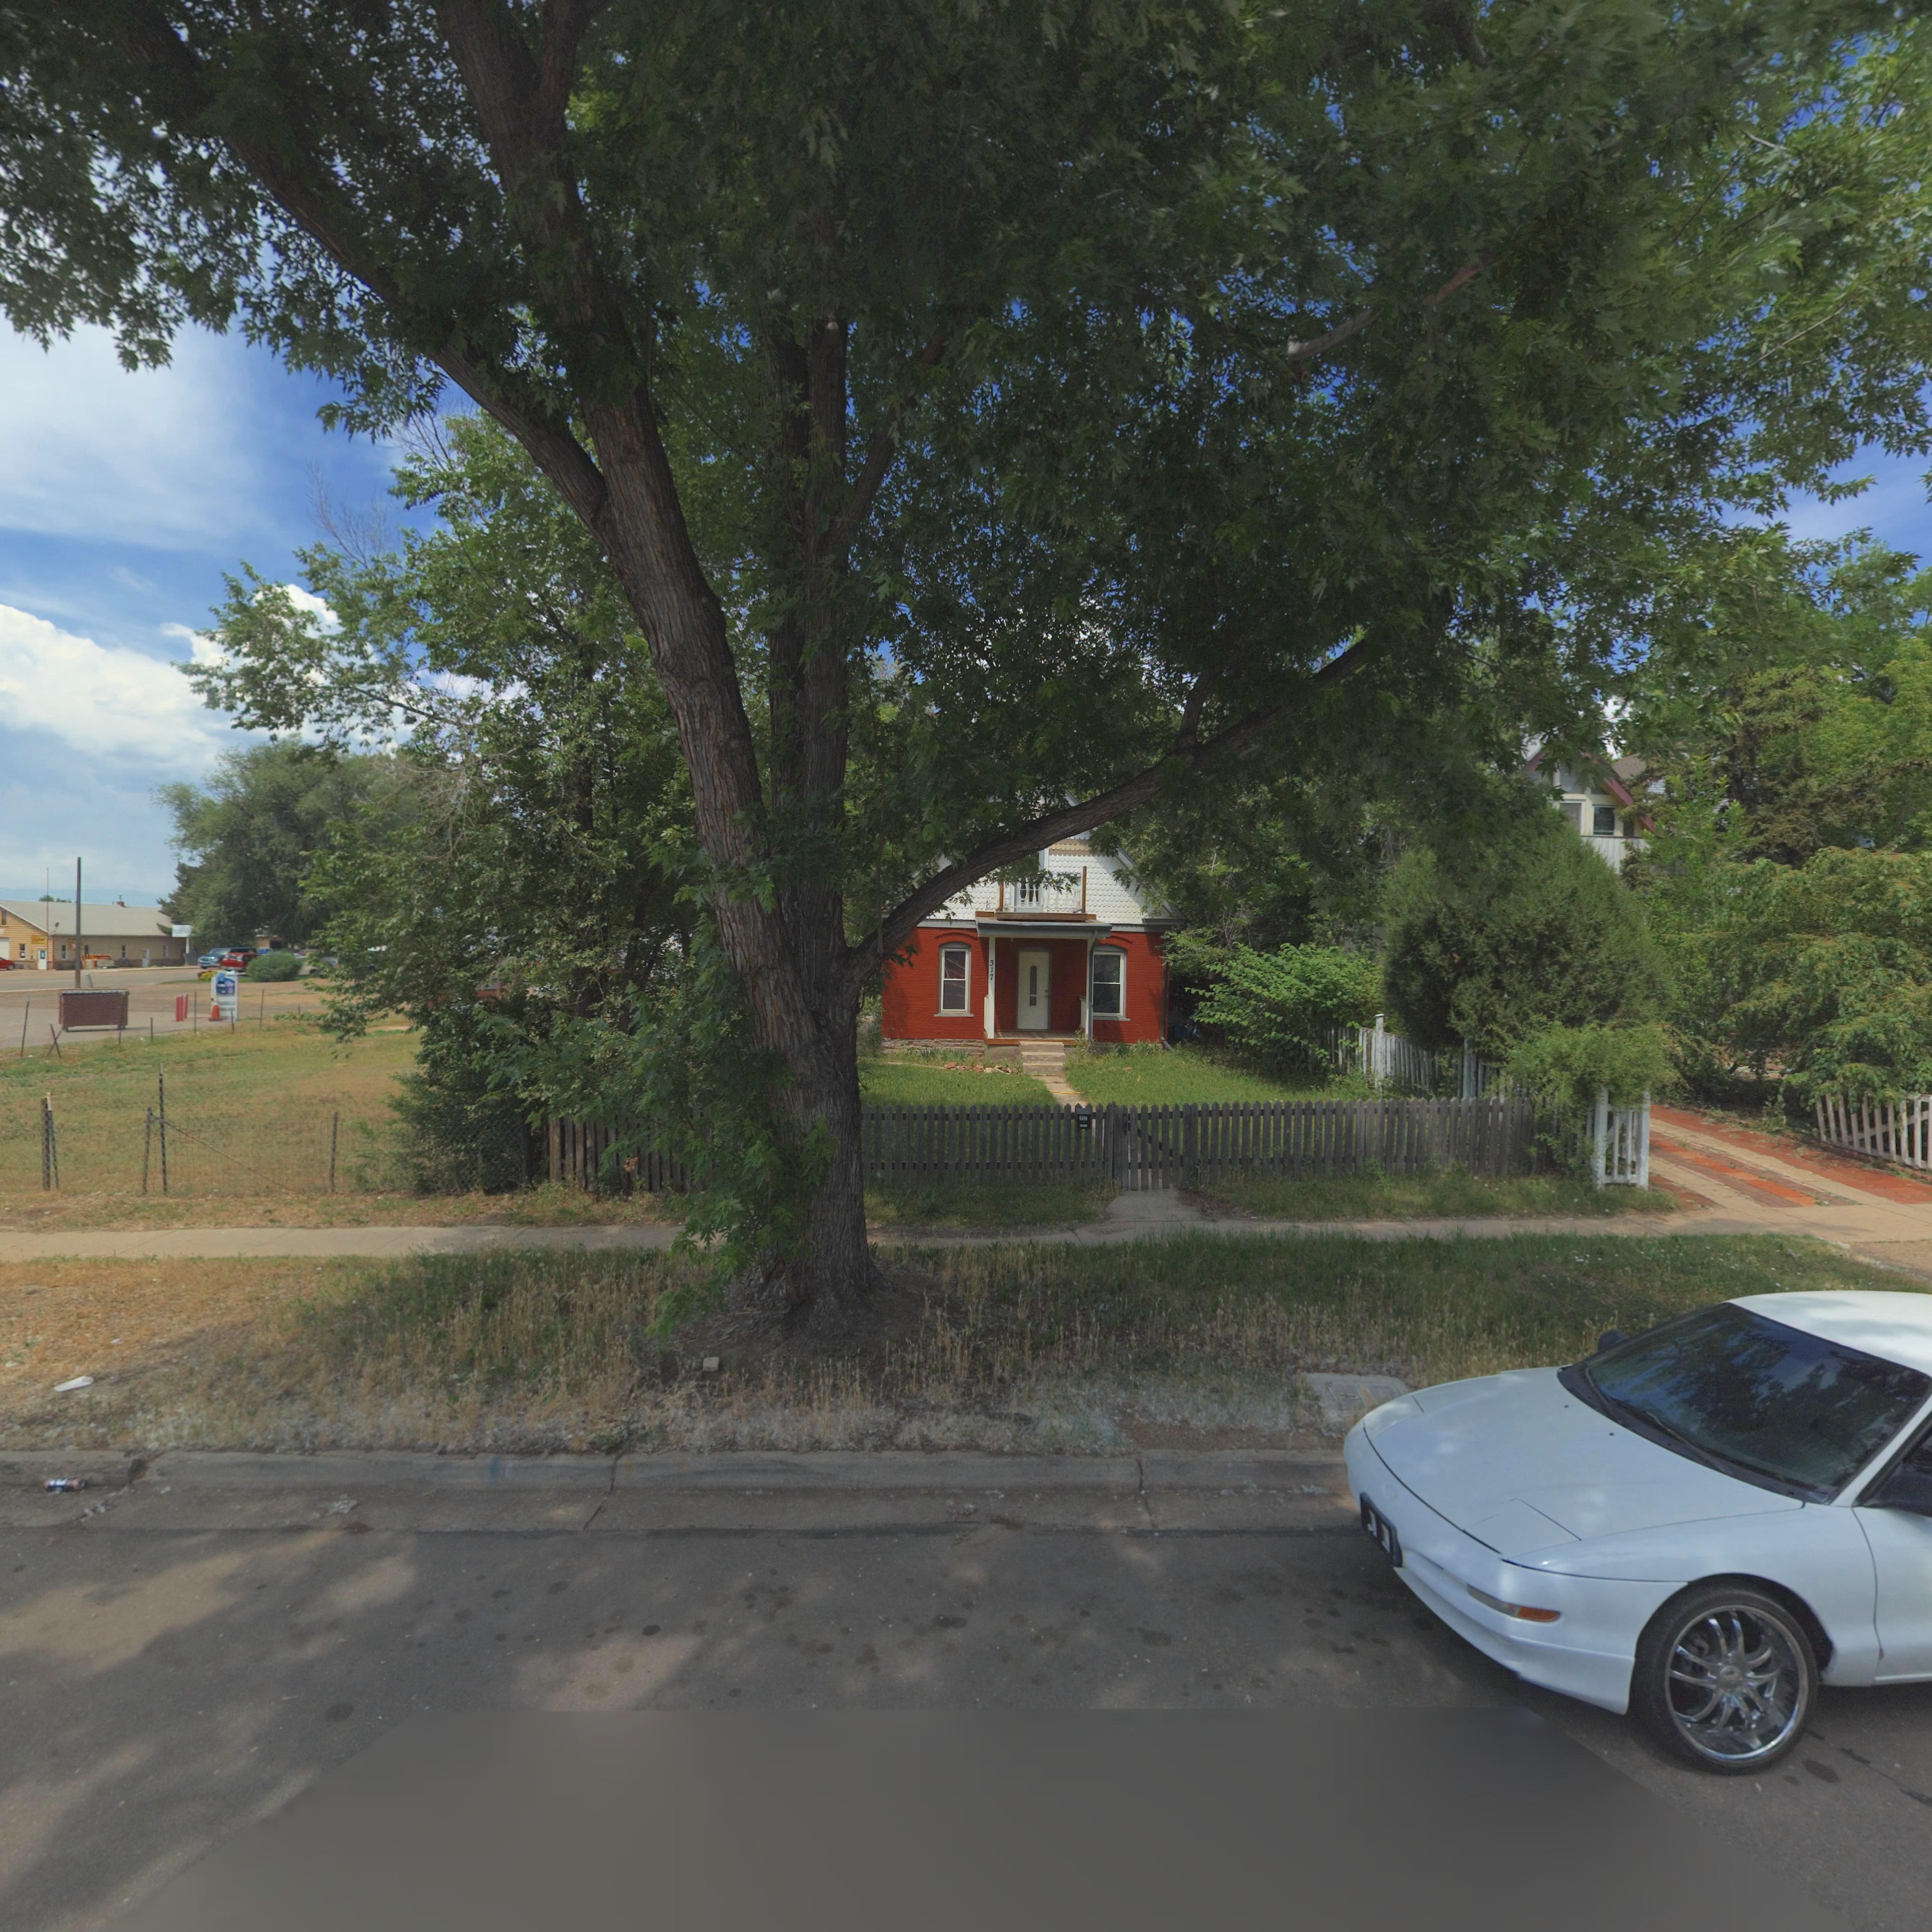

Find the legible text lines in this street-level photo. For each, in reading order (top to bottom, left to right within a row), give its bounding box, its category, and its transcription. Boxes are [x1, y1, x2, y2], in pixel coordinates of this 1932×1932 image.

[989, 958, 995, 981] StreetNumber: 317